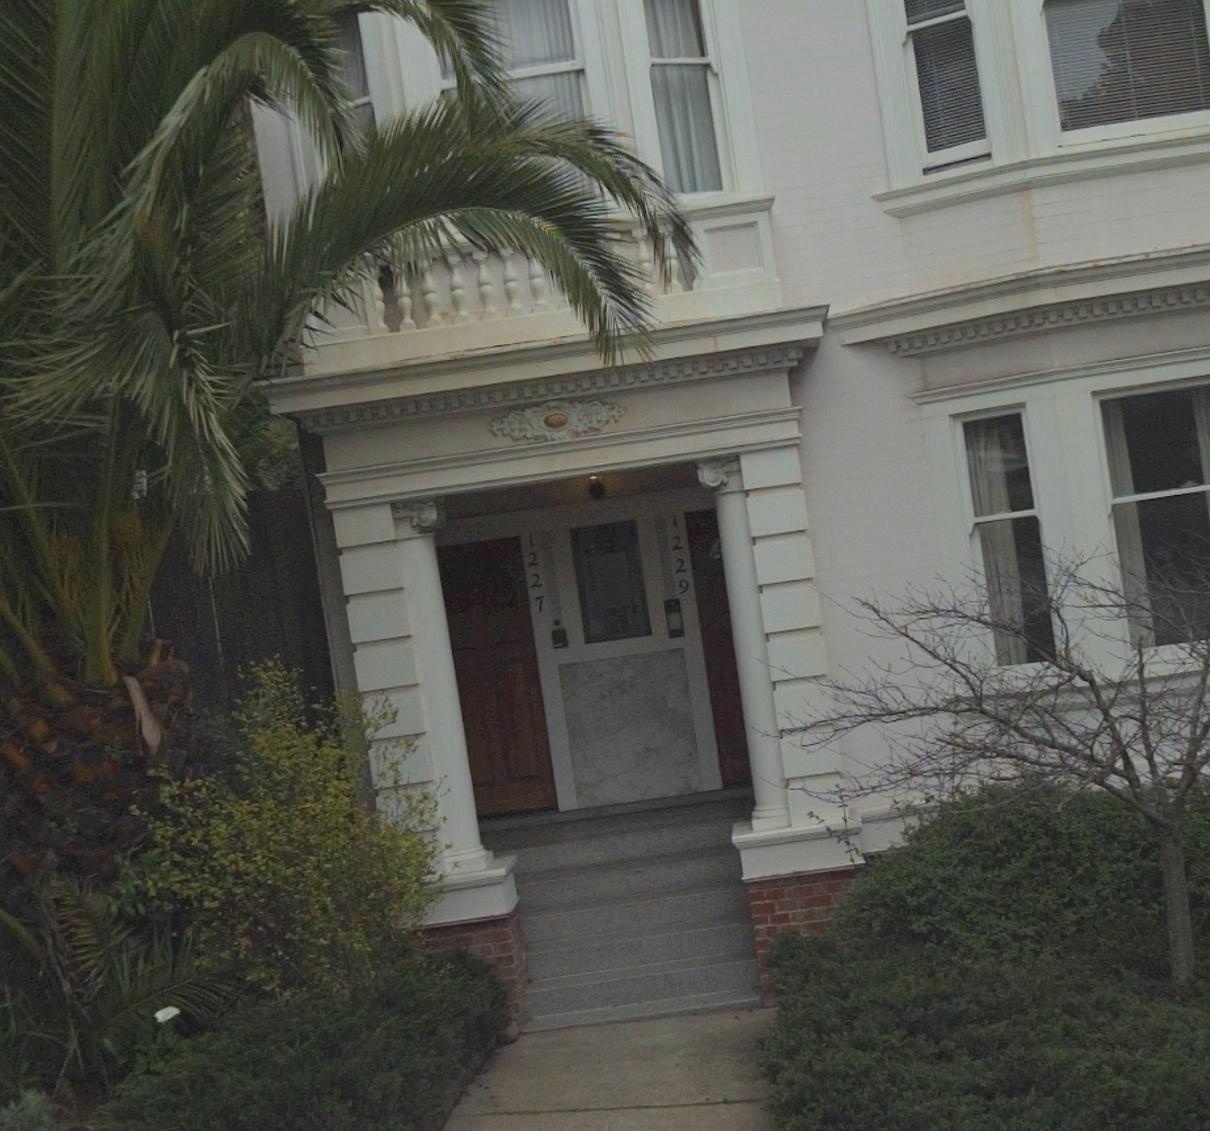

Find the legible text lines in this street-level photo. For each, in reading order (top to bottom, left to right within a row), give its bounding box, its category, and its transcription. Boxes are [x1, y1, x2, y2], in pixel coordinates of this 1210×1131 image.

[523, 530, 547, 615] StreetNumber: 1227
[669, 511, 692, 597] StreetNumber: 1229